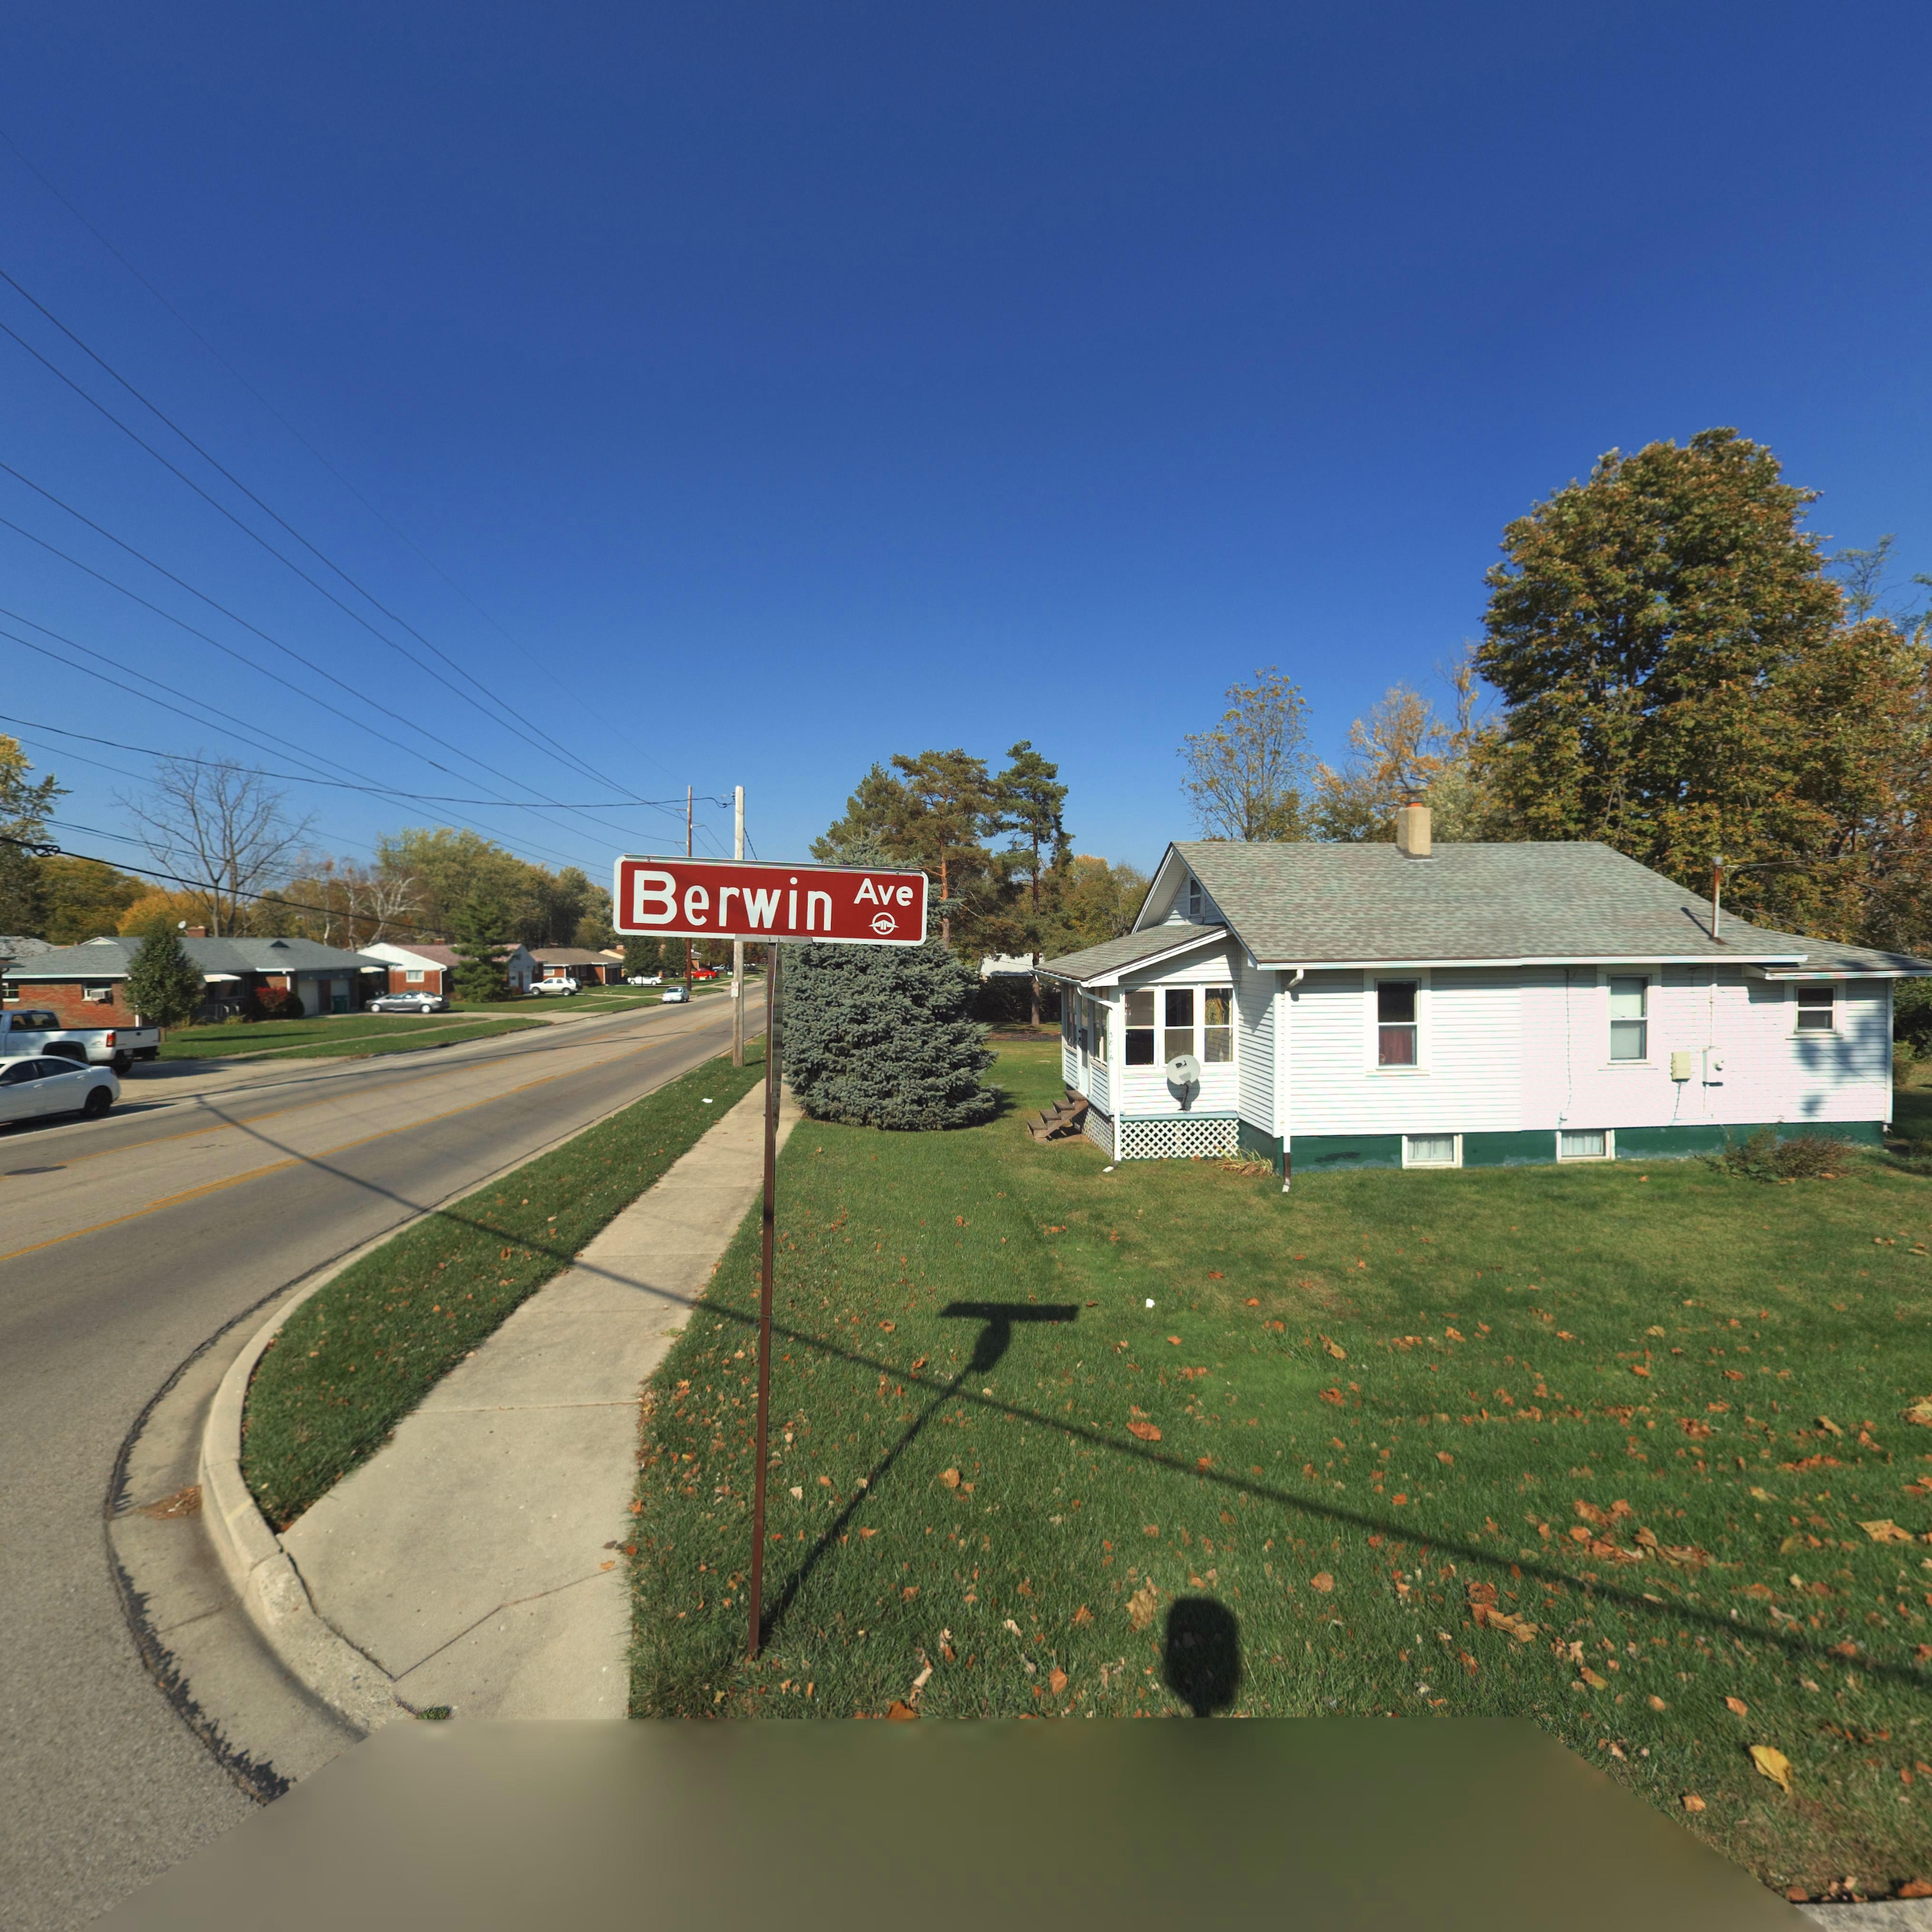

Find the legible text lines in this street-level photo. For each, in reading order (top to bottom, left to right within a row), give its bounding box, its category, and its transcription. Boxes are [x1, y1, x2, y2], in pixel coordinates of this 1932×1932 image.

[630, 868, 915, 932] StreetName: Berwin Ave
[1109, 1032, 1113, 1061] StreetNumber: 3816